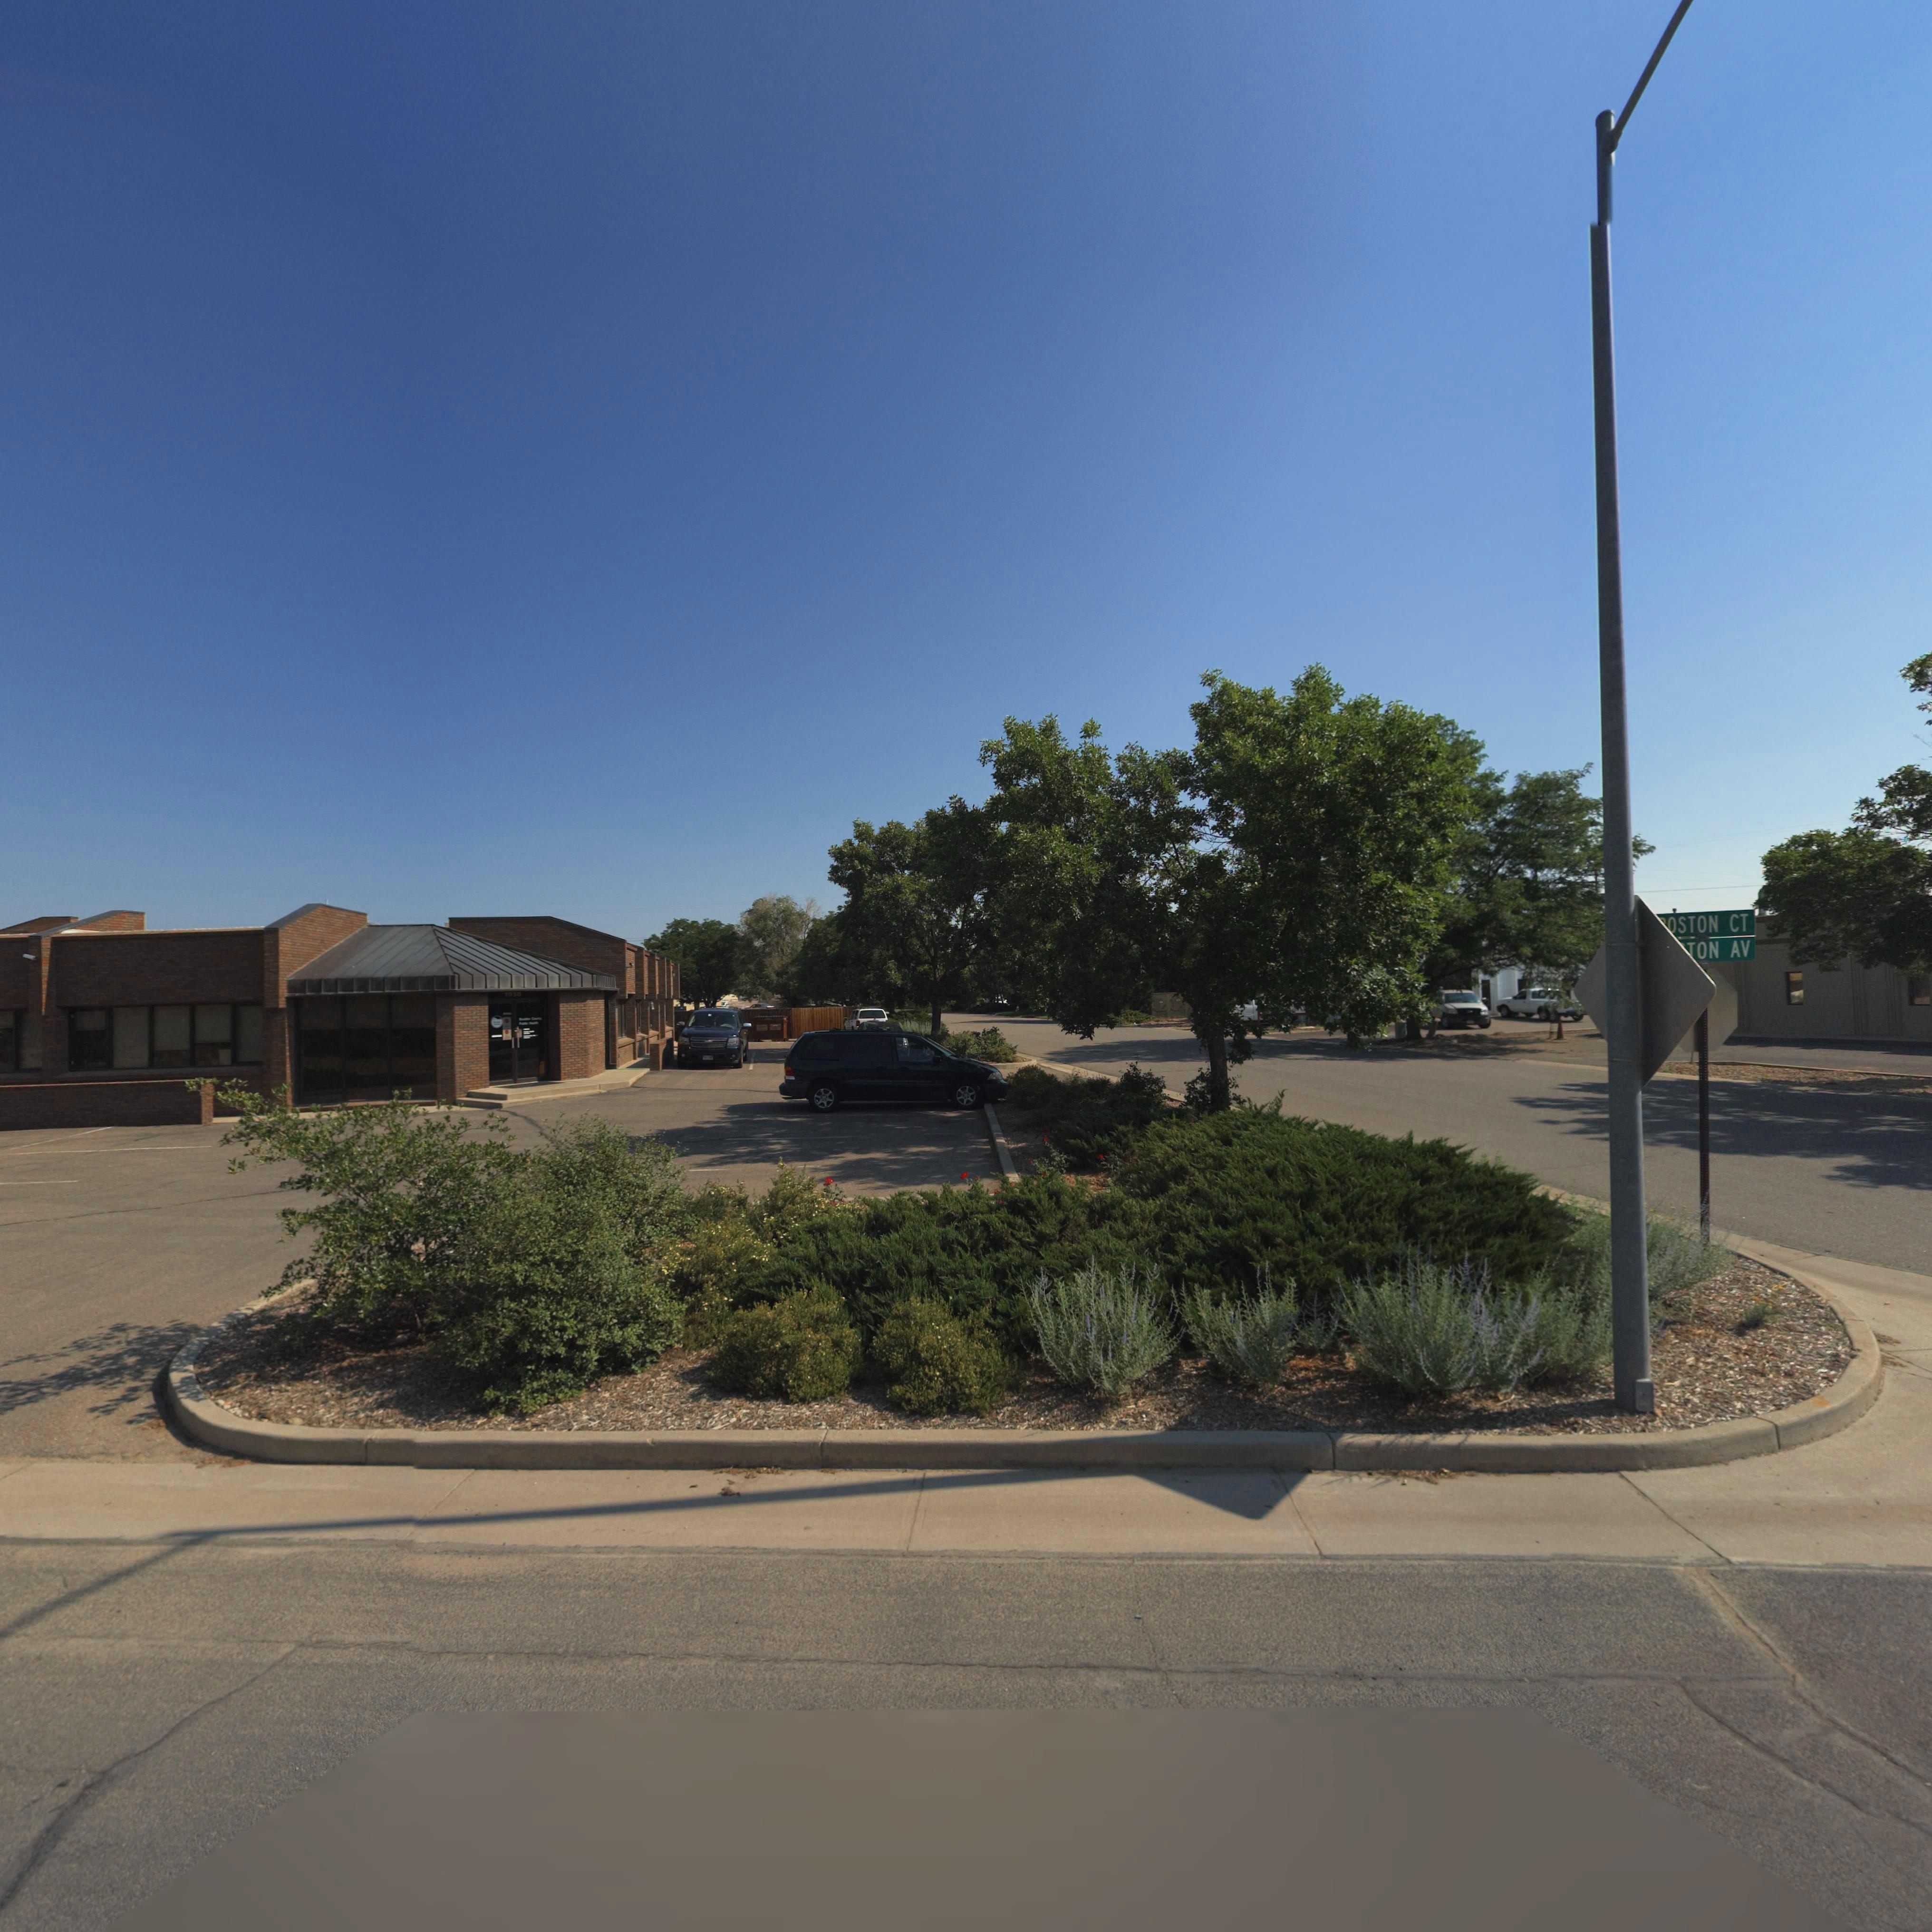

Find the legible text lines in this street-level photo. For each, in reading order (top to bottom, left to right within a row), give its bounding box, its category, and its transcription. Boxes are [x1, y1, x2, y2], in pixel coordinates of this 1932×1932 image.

[1657, 913, 1750, 932] StreetName: *OSTON CT
[1683, 937, 1752, 959] StreetName: TON AV
[504, 991, 522, 997] StreetNumber: 1030